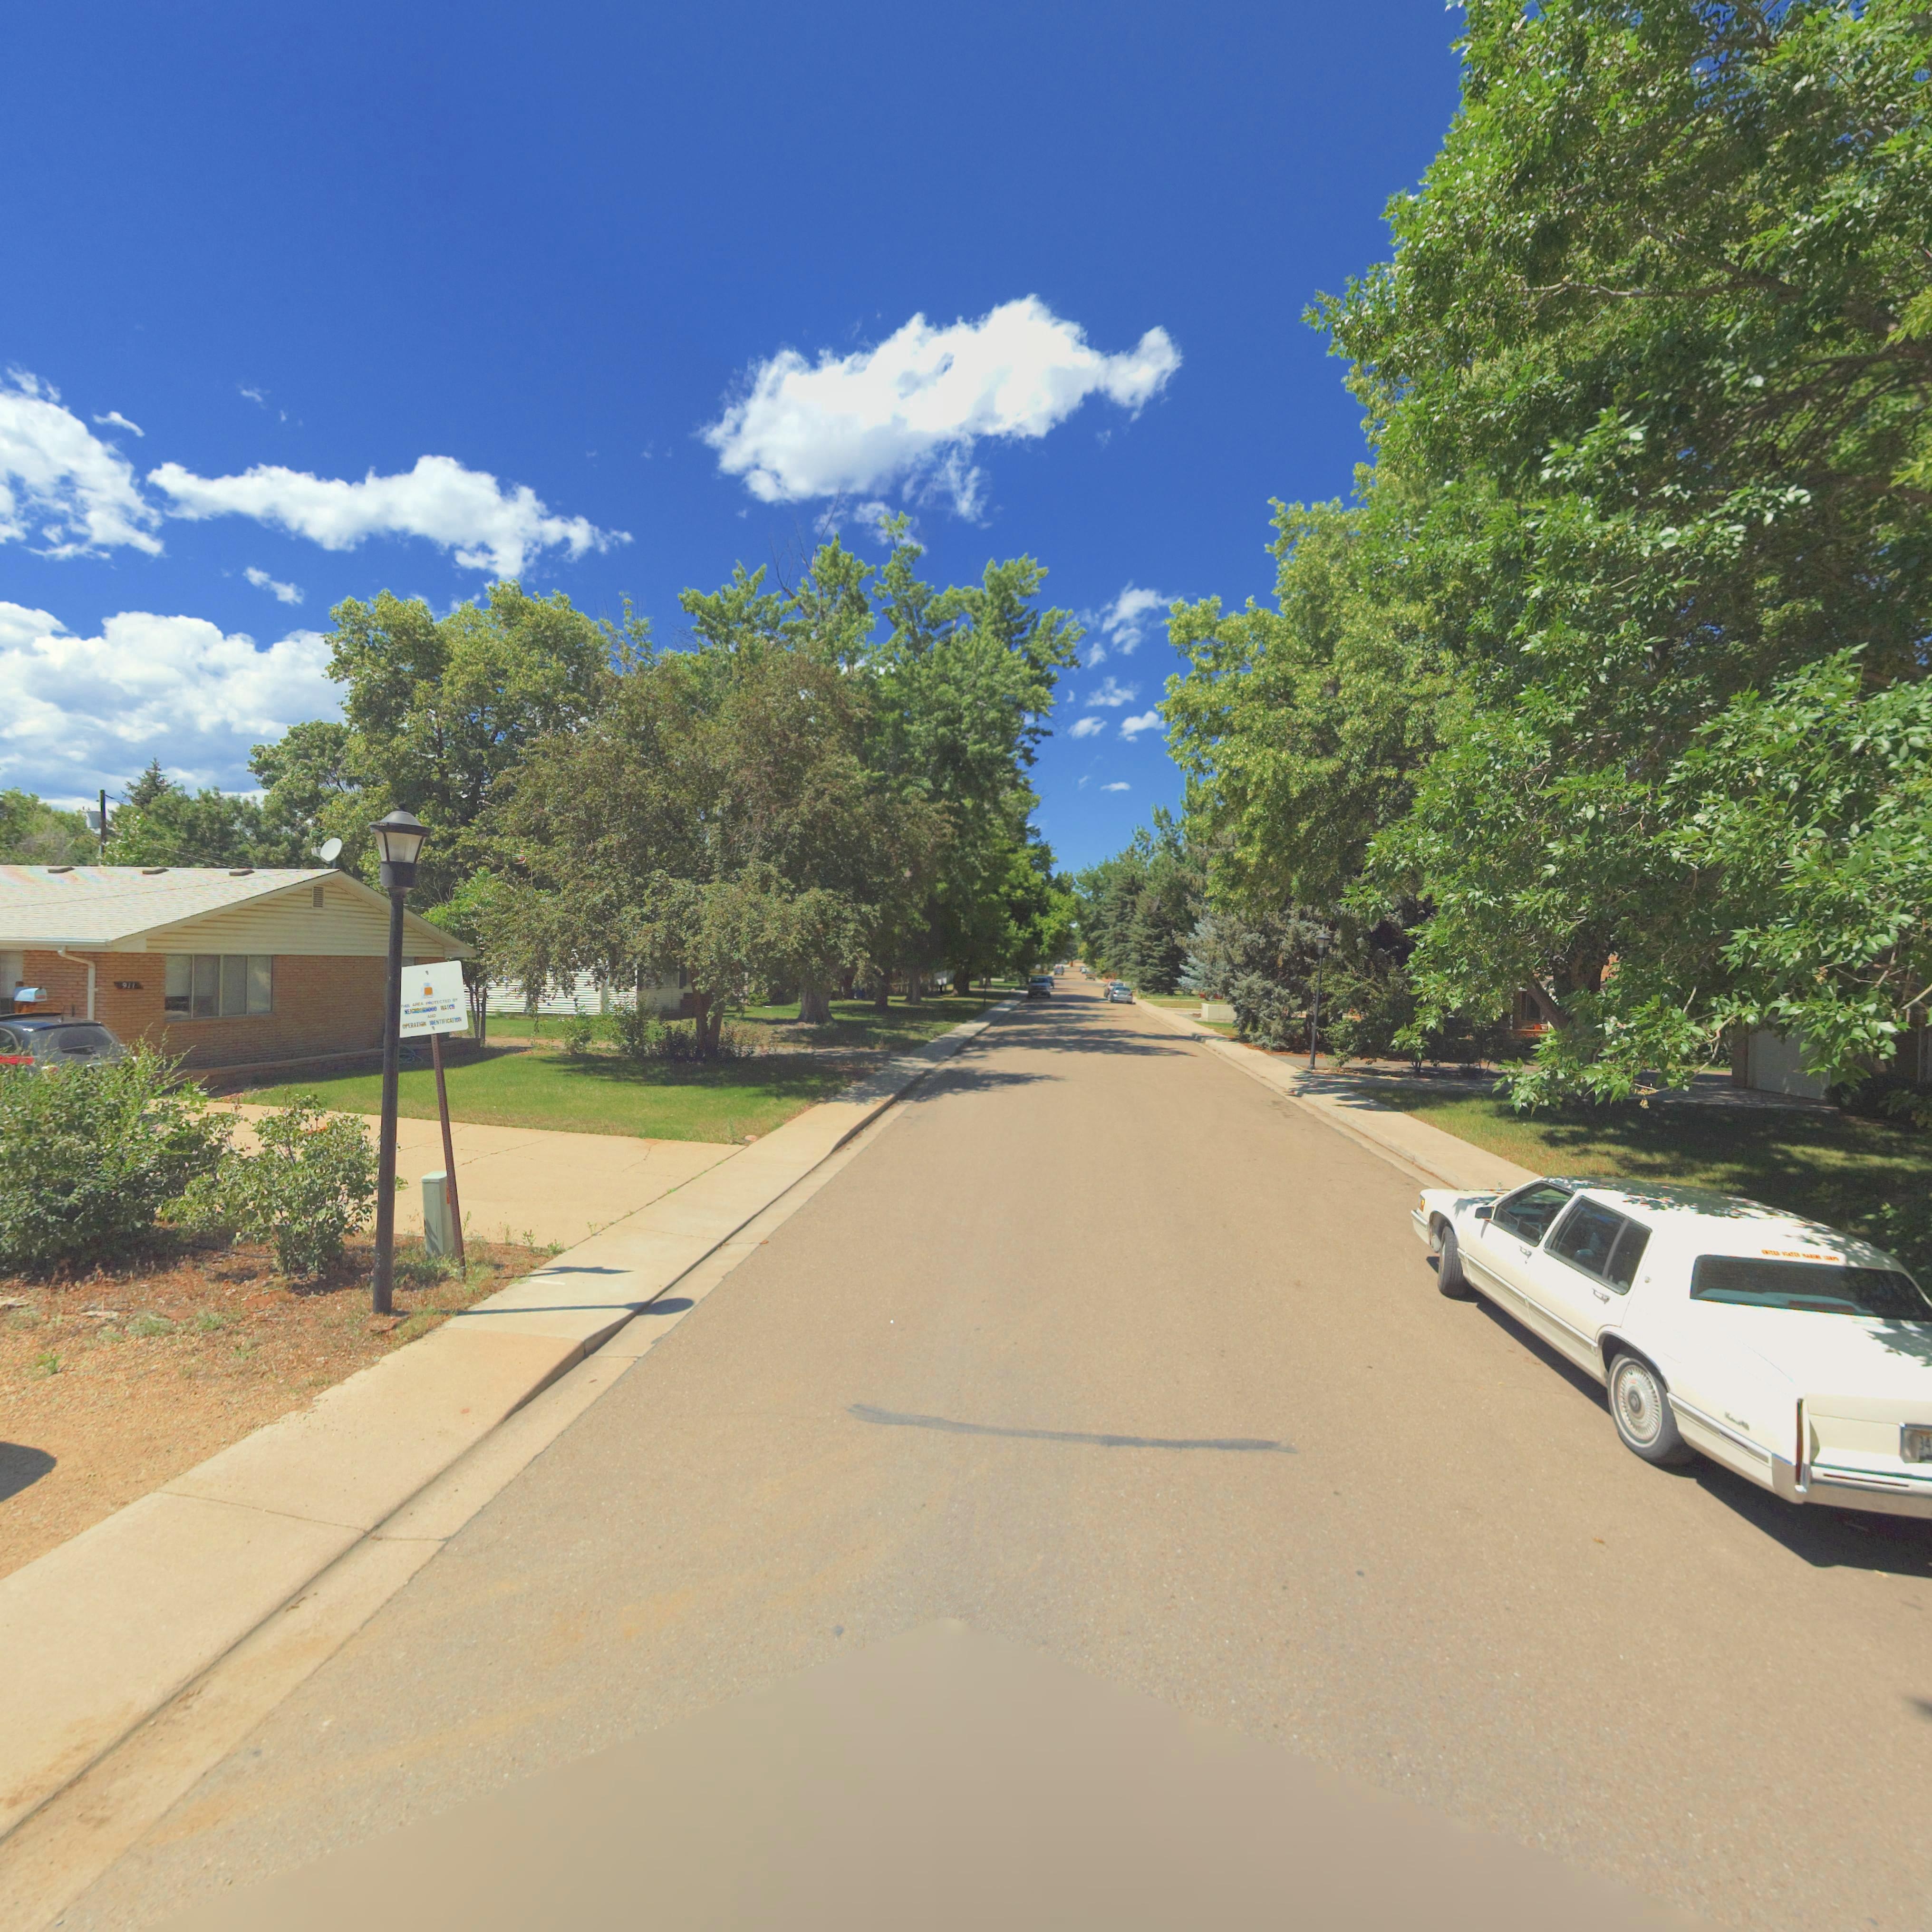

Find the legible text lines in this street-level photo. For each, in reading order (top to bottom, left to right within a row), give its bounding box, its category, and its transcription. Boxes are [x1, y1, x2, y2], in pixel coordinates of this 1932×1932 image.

[122, 982, 135, 989] StreetNumber: 911